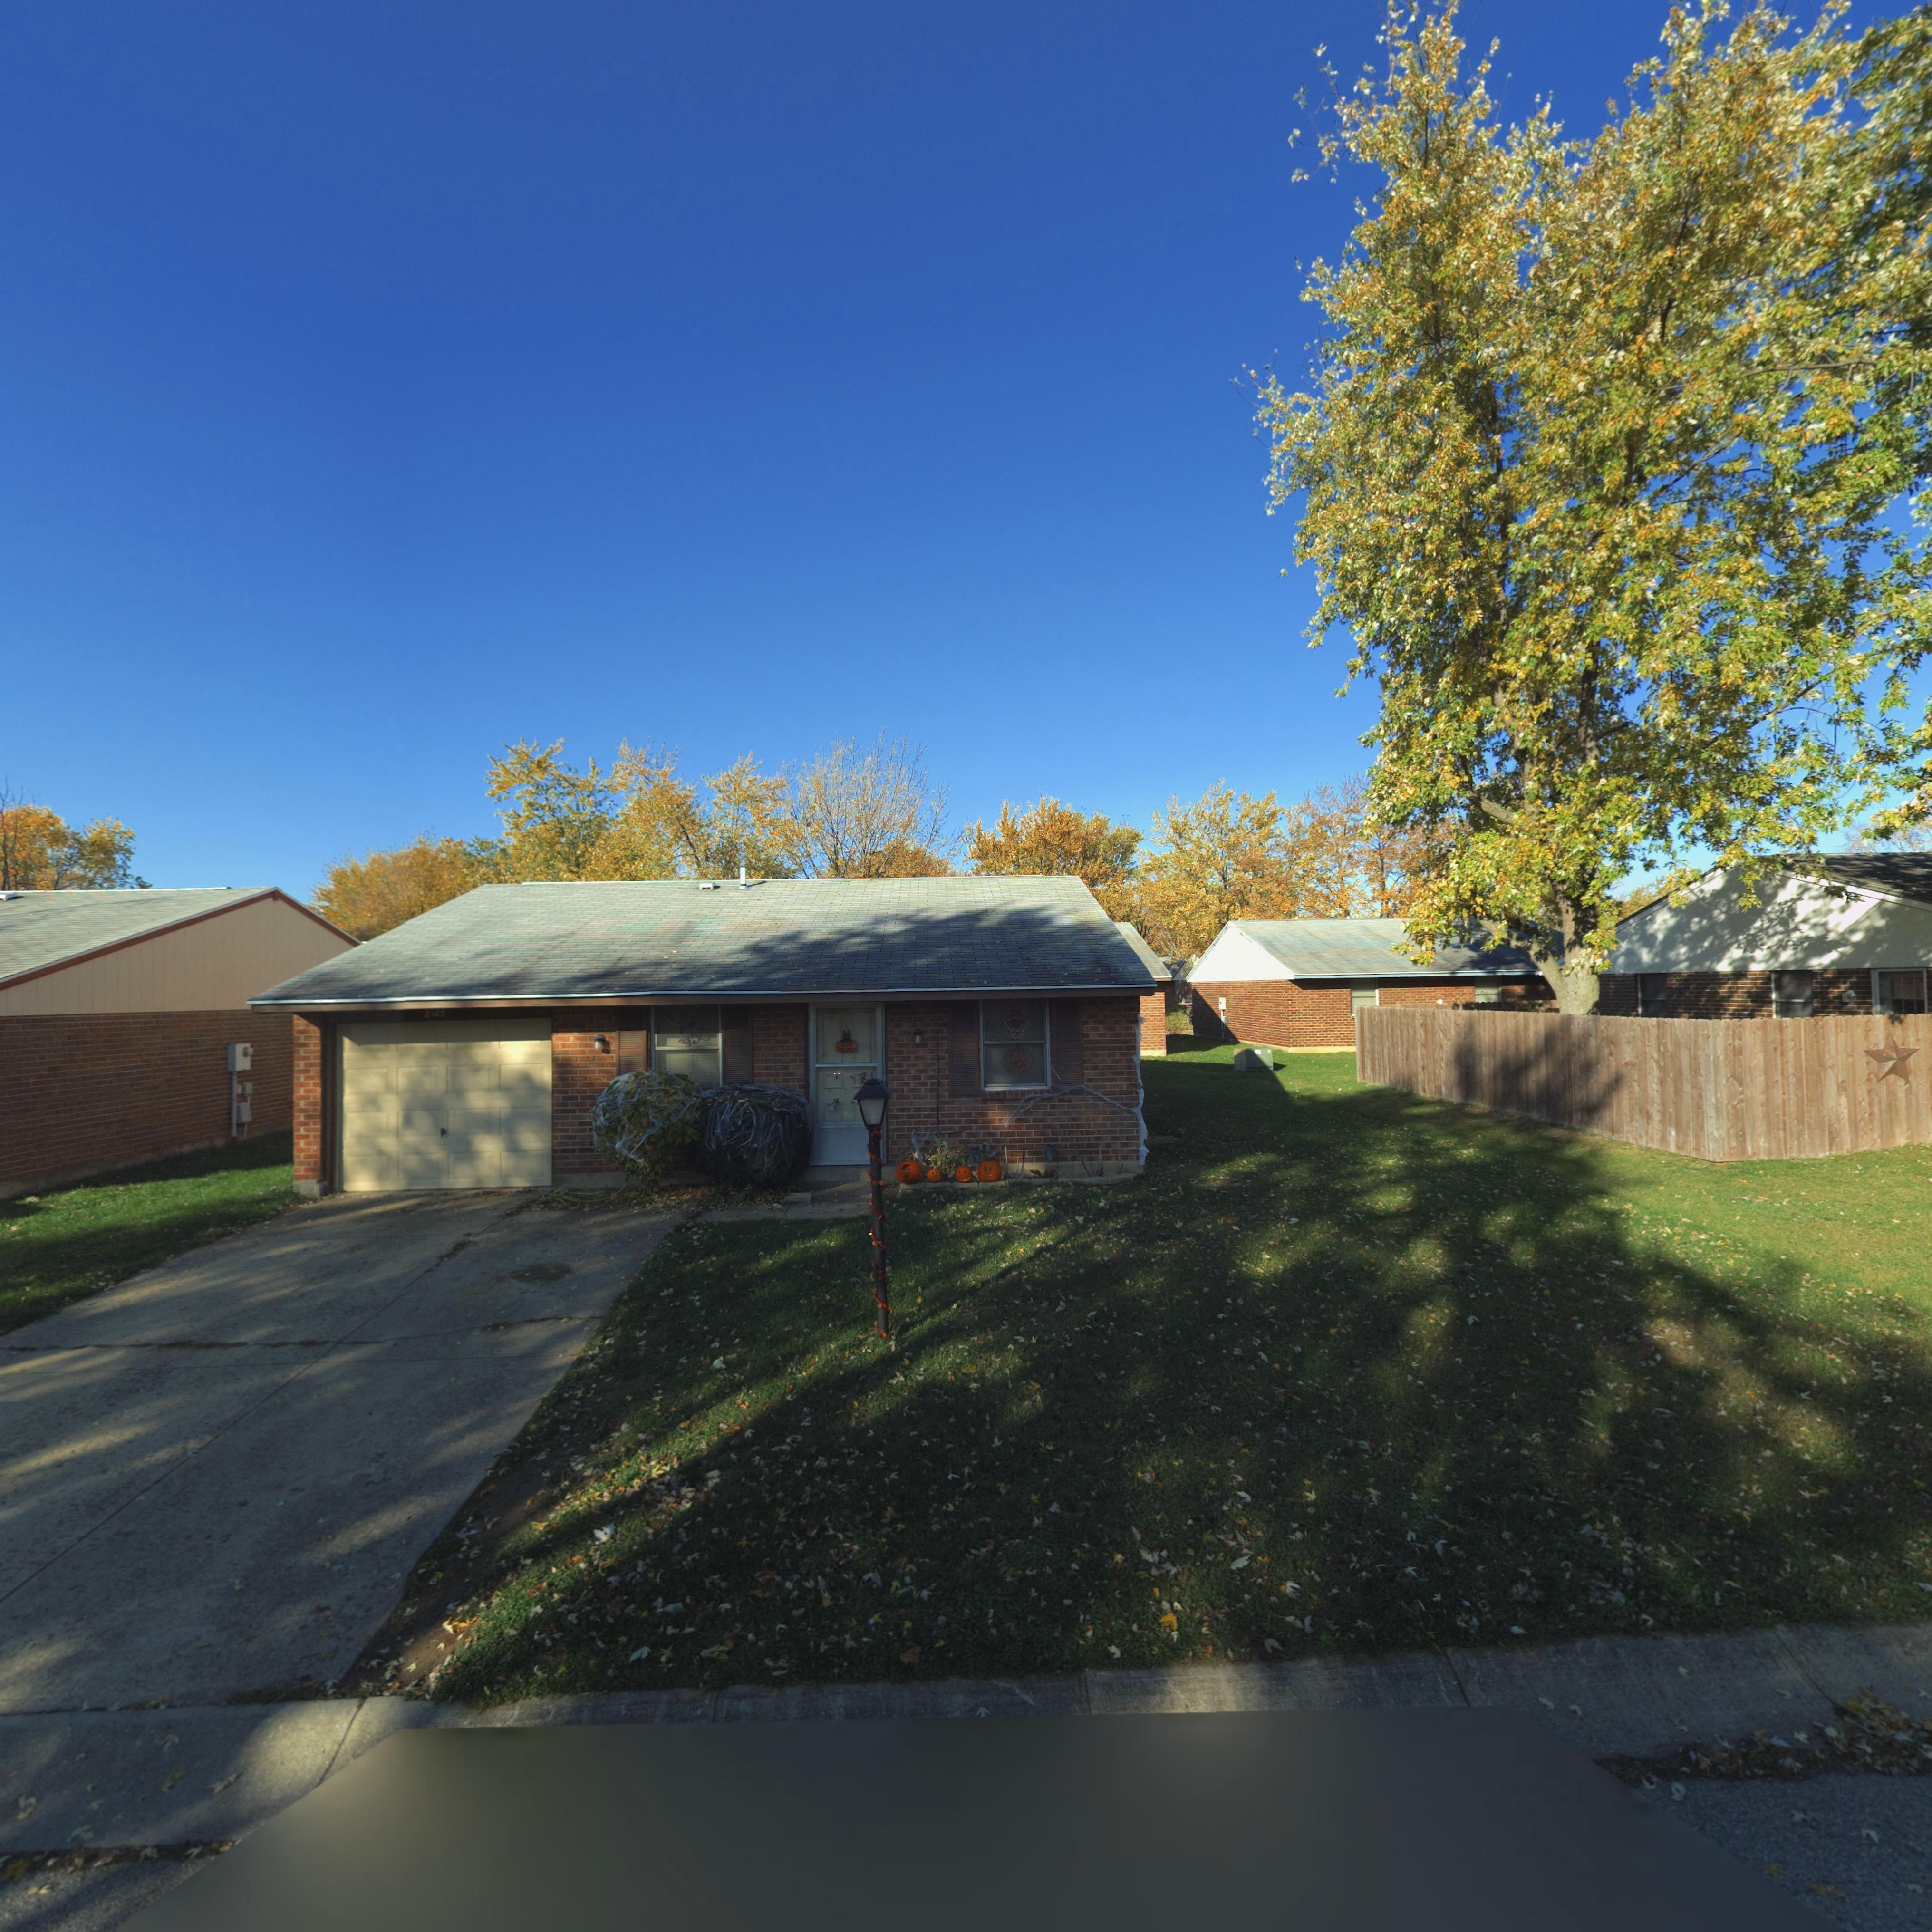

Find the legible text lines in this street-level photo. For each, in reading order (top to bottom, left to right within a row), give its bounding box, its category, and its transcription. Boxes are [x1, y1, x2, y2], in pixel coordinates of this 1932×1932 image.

[423, 1008, 448, 1019] StreetNumber: 8185